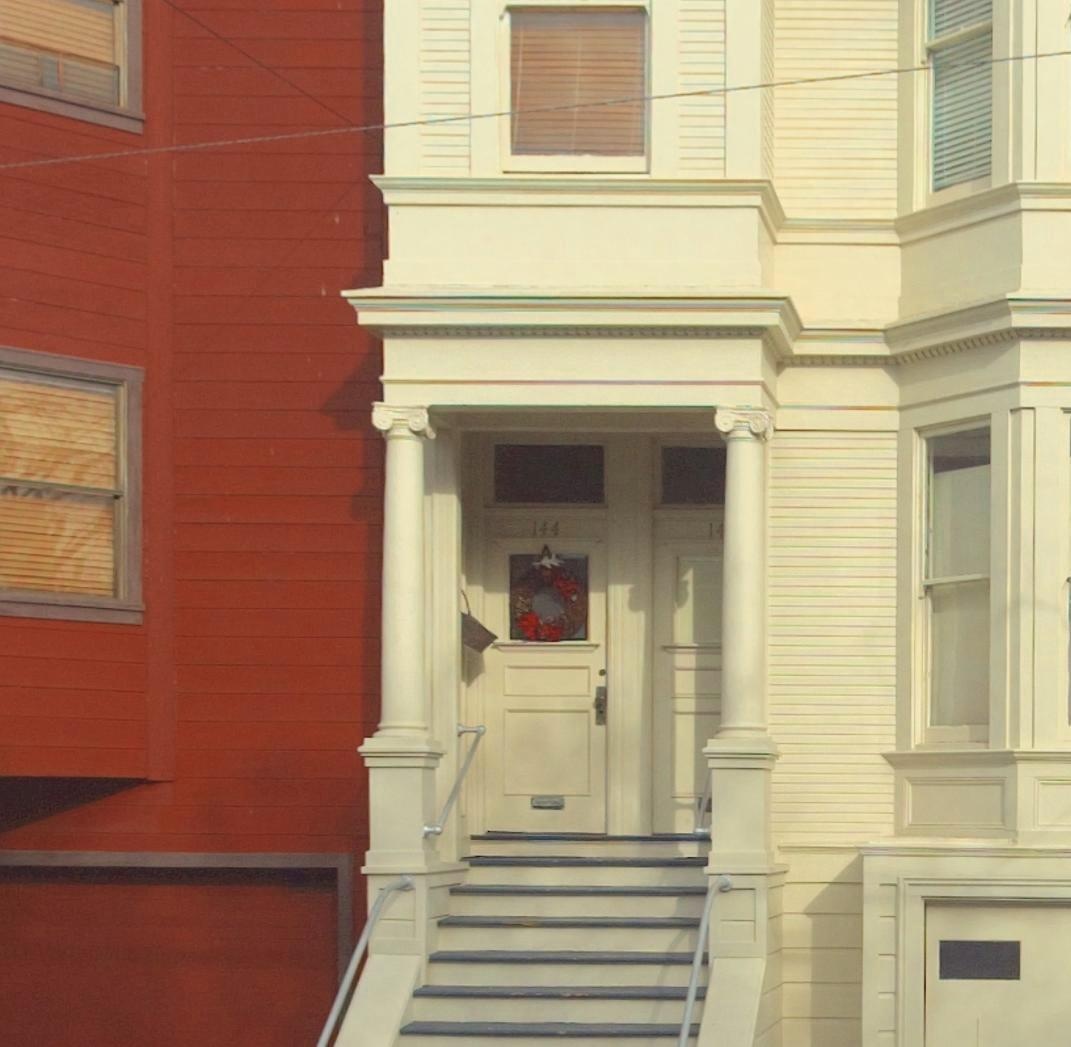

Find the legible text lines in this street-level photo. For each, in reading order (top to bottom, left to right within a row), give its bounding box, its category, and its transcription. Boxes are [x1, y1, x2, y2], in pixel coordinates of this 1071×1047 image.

[532, 520, 560, 537] StreetNumber: 144
[708, 521, 724, 539] StreetNumber: 14